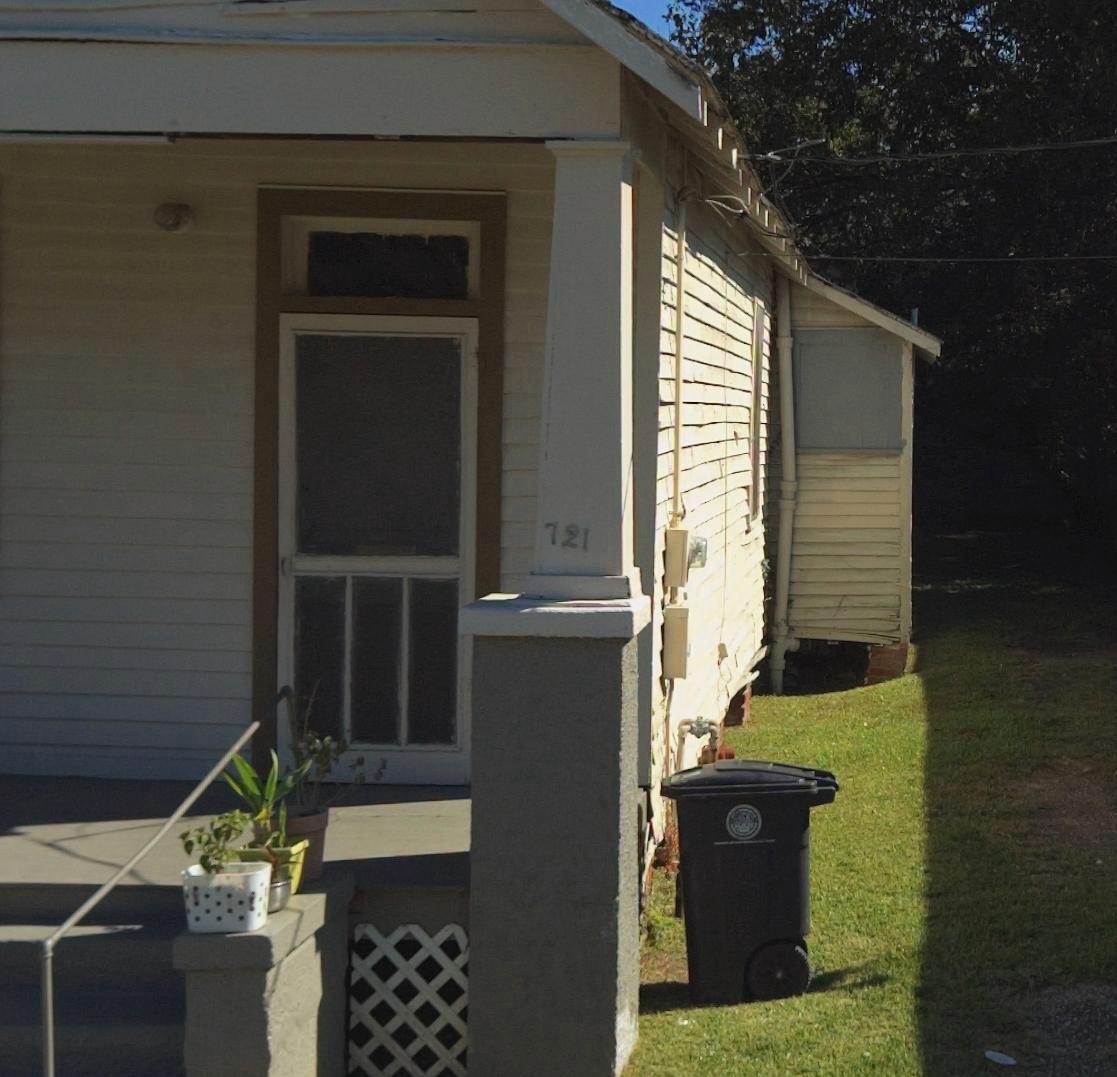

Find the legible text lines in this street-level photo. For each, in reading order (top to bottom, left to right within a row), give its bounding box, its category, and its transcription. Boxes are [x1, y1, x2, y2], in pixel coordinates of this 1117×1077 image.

[542, 519, 593, 556] StreetNumber: 721